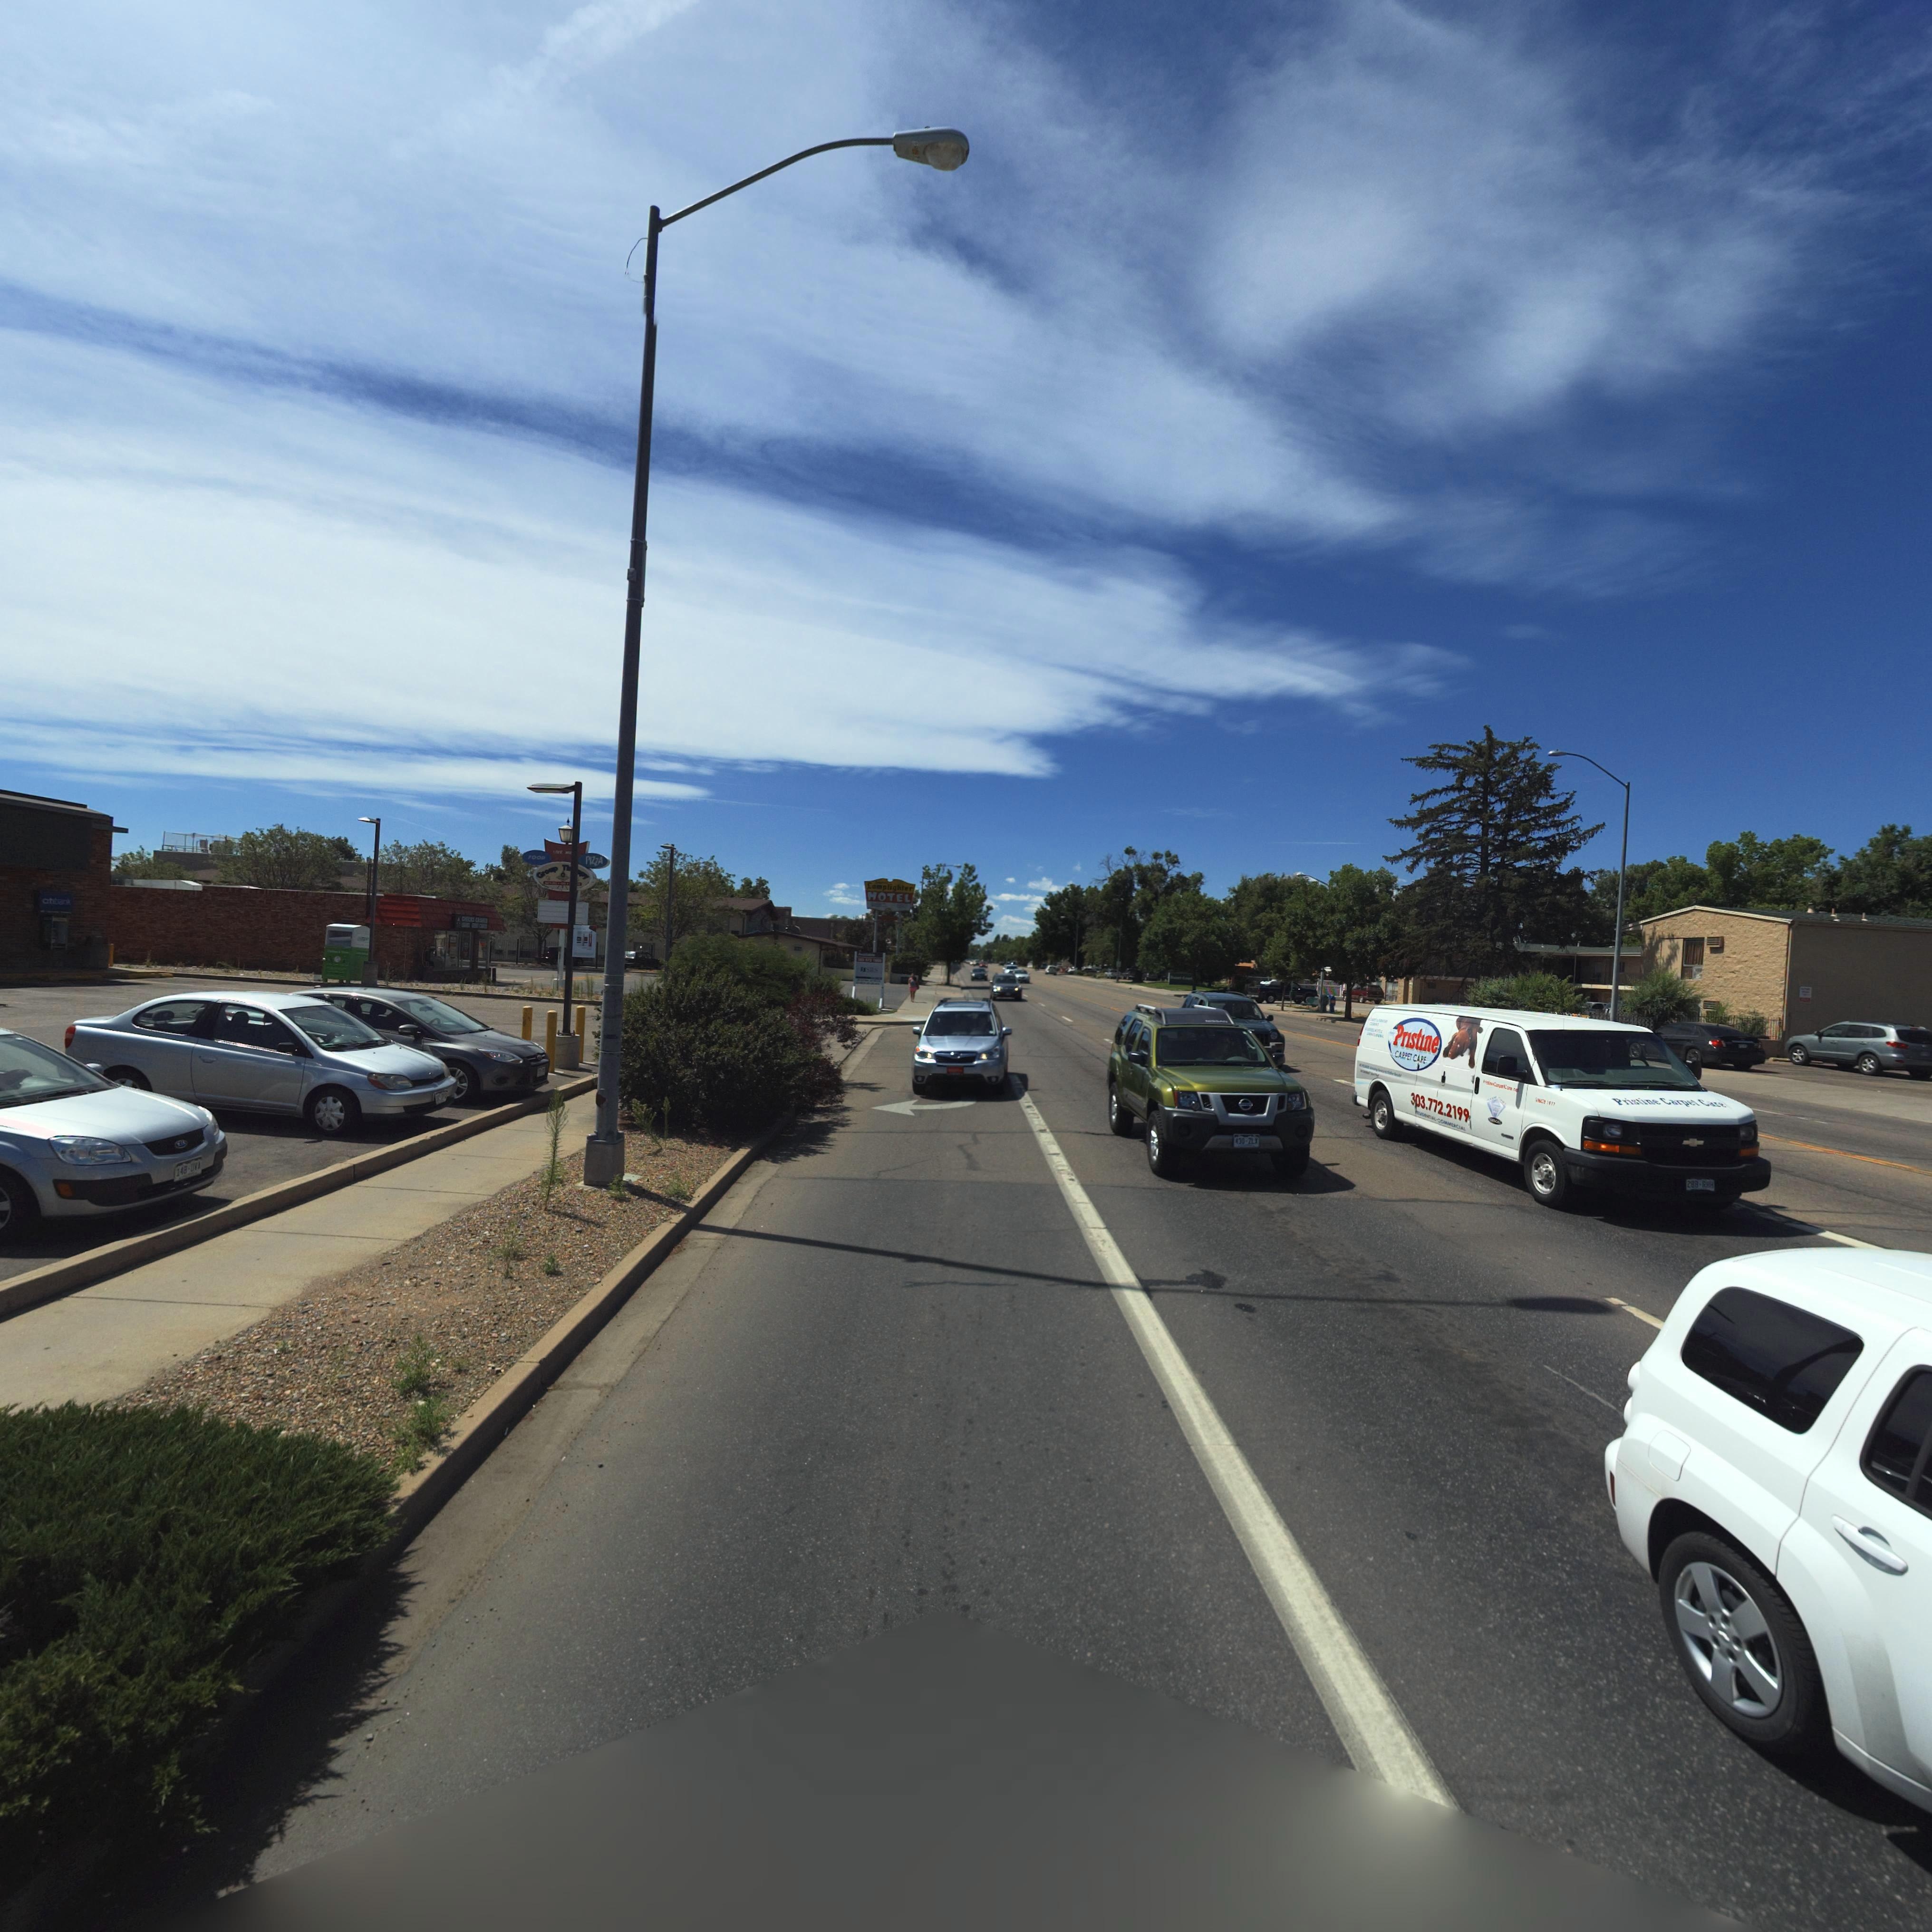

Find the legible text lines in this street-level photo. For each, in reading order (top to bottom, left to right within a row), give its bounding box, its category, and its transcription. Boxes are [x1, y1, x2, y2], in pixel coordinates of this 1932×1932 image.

[535, 864, 590, 880] BusinessName: G*o*p T*****y
[866, 881, 914, 892] BusinessName: Lamplighter
[867, 891, 911, 903] BusinessName: MOTEL
[1169, 975, 1192, 981] BusinessName: ******* C******